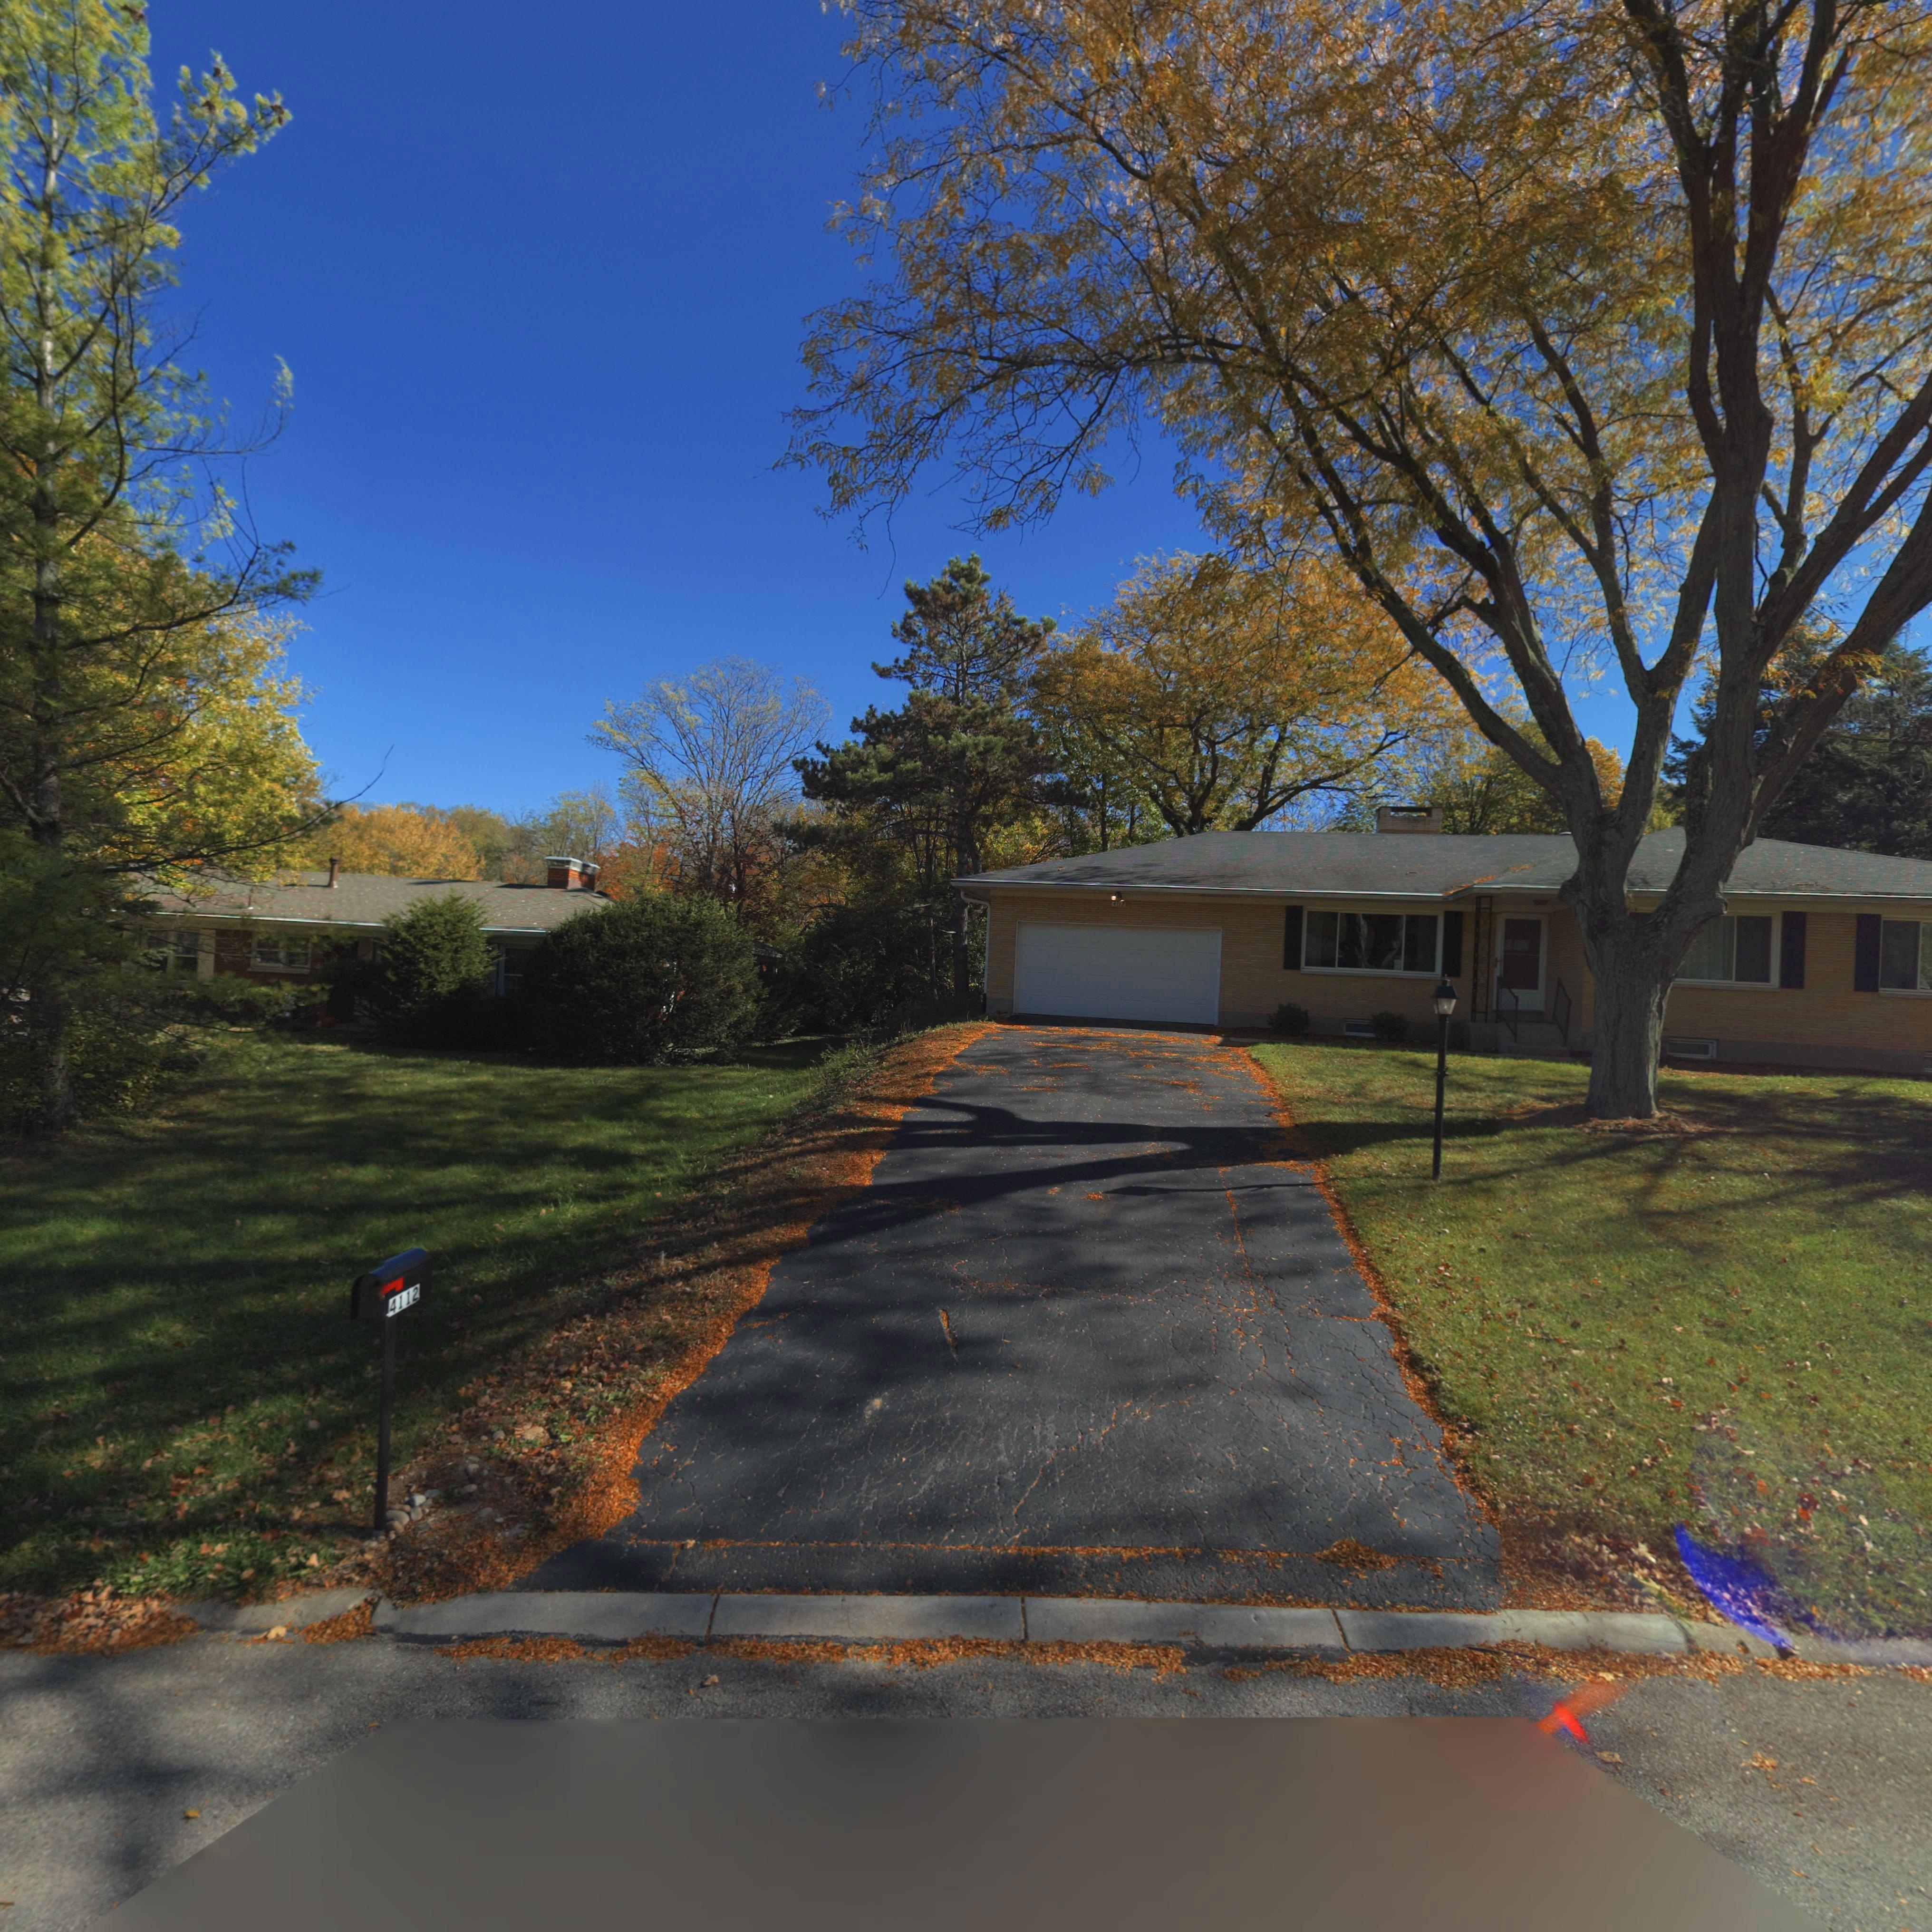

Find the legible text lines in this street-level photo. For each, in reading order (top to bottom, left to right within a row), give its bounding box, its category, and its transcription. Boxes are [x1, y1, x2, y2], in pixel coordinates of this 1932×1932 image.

[389, 1285, 420, 1314] StreetNumber: 4112